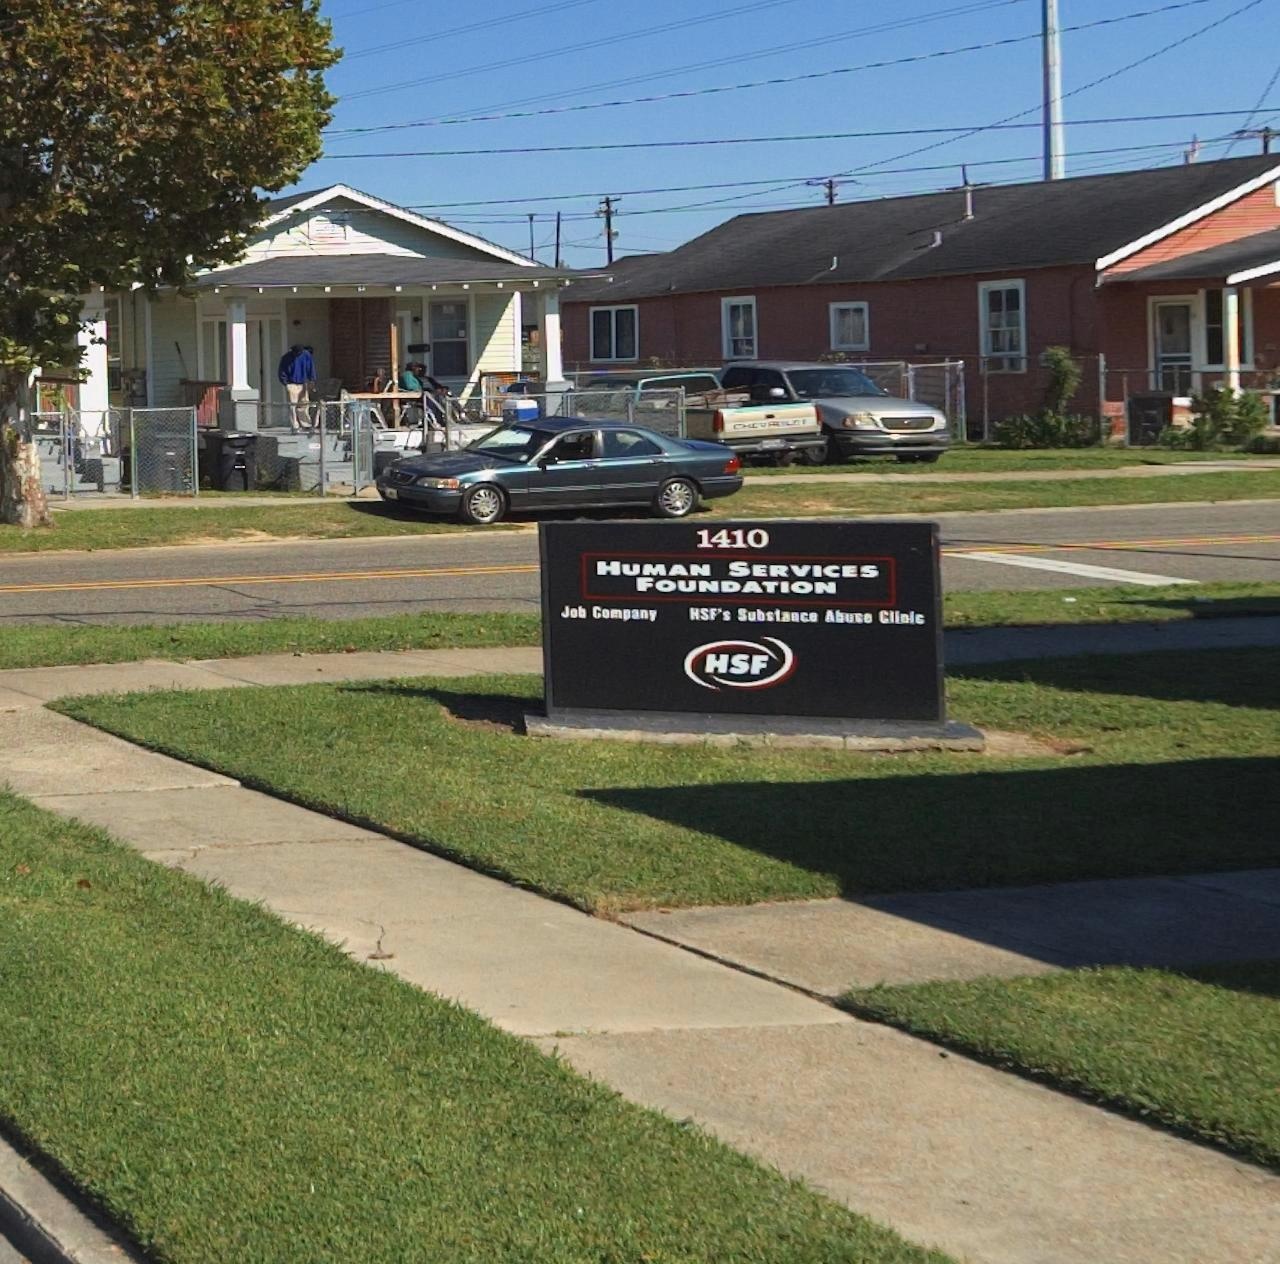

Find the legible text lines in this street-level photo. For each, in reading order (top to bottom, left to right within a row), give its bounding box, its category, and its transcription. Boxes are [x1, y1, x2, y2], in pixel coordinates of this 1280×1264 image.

[694, 525, 772, 551] StreetNumber: 1410
[594, 559, 882, 581] BusinessName: HUMAN SERVICES
[634, 574, 839, 596] BusinessName: FOUNDATION
[557, 602, 661, 625] None: Job Company
[686, 604, 929, 628] None: HSF's Substance Abuse Clinic
[702, 650, 771, 678] None: HSF